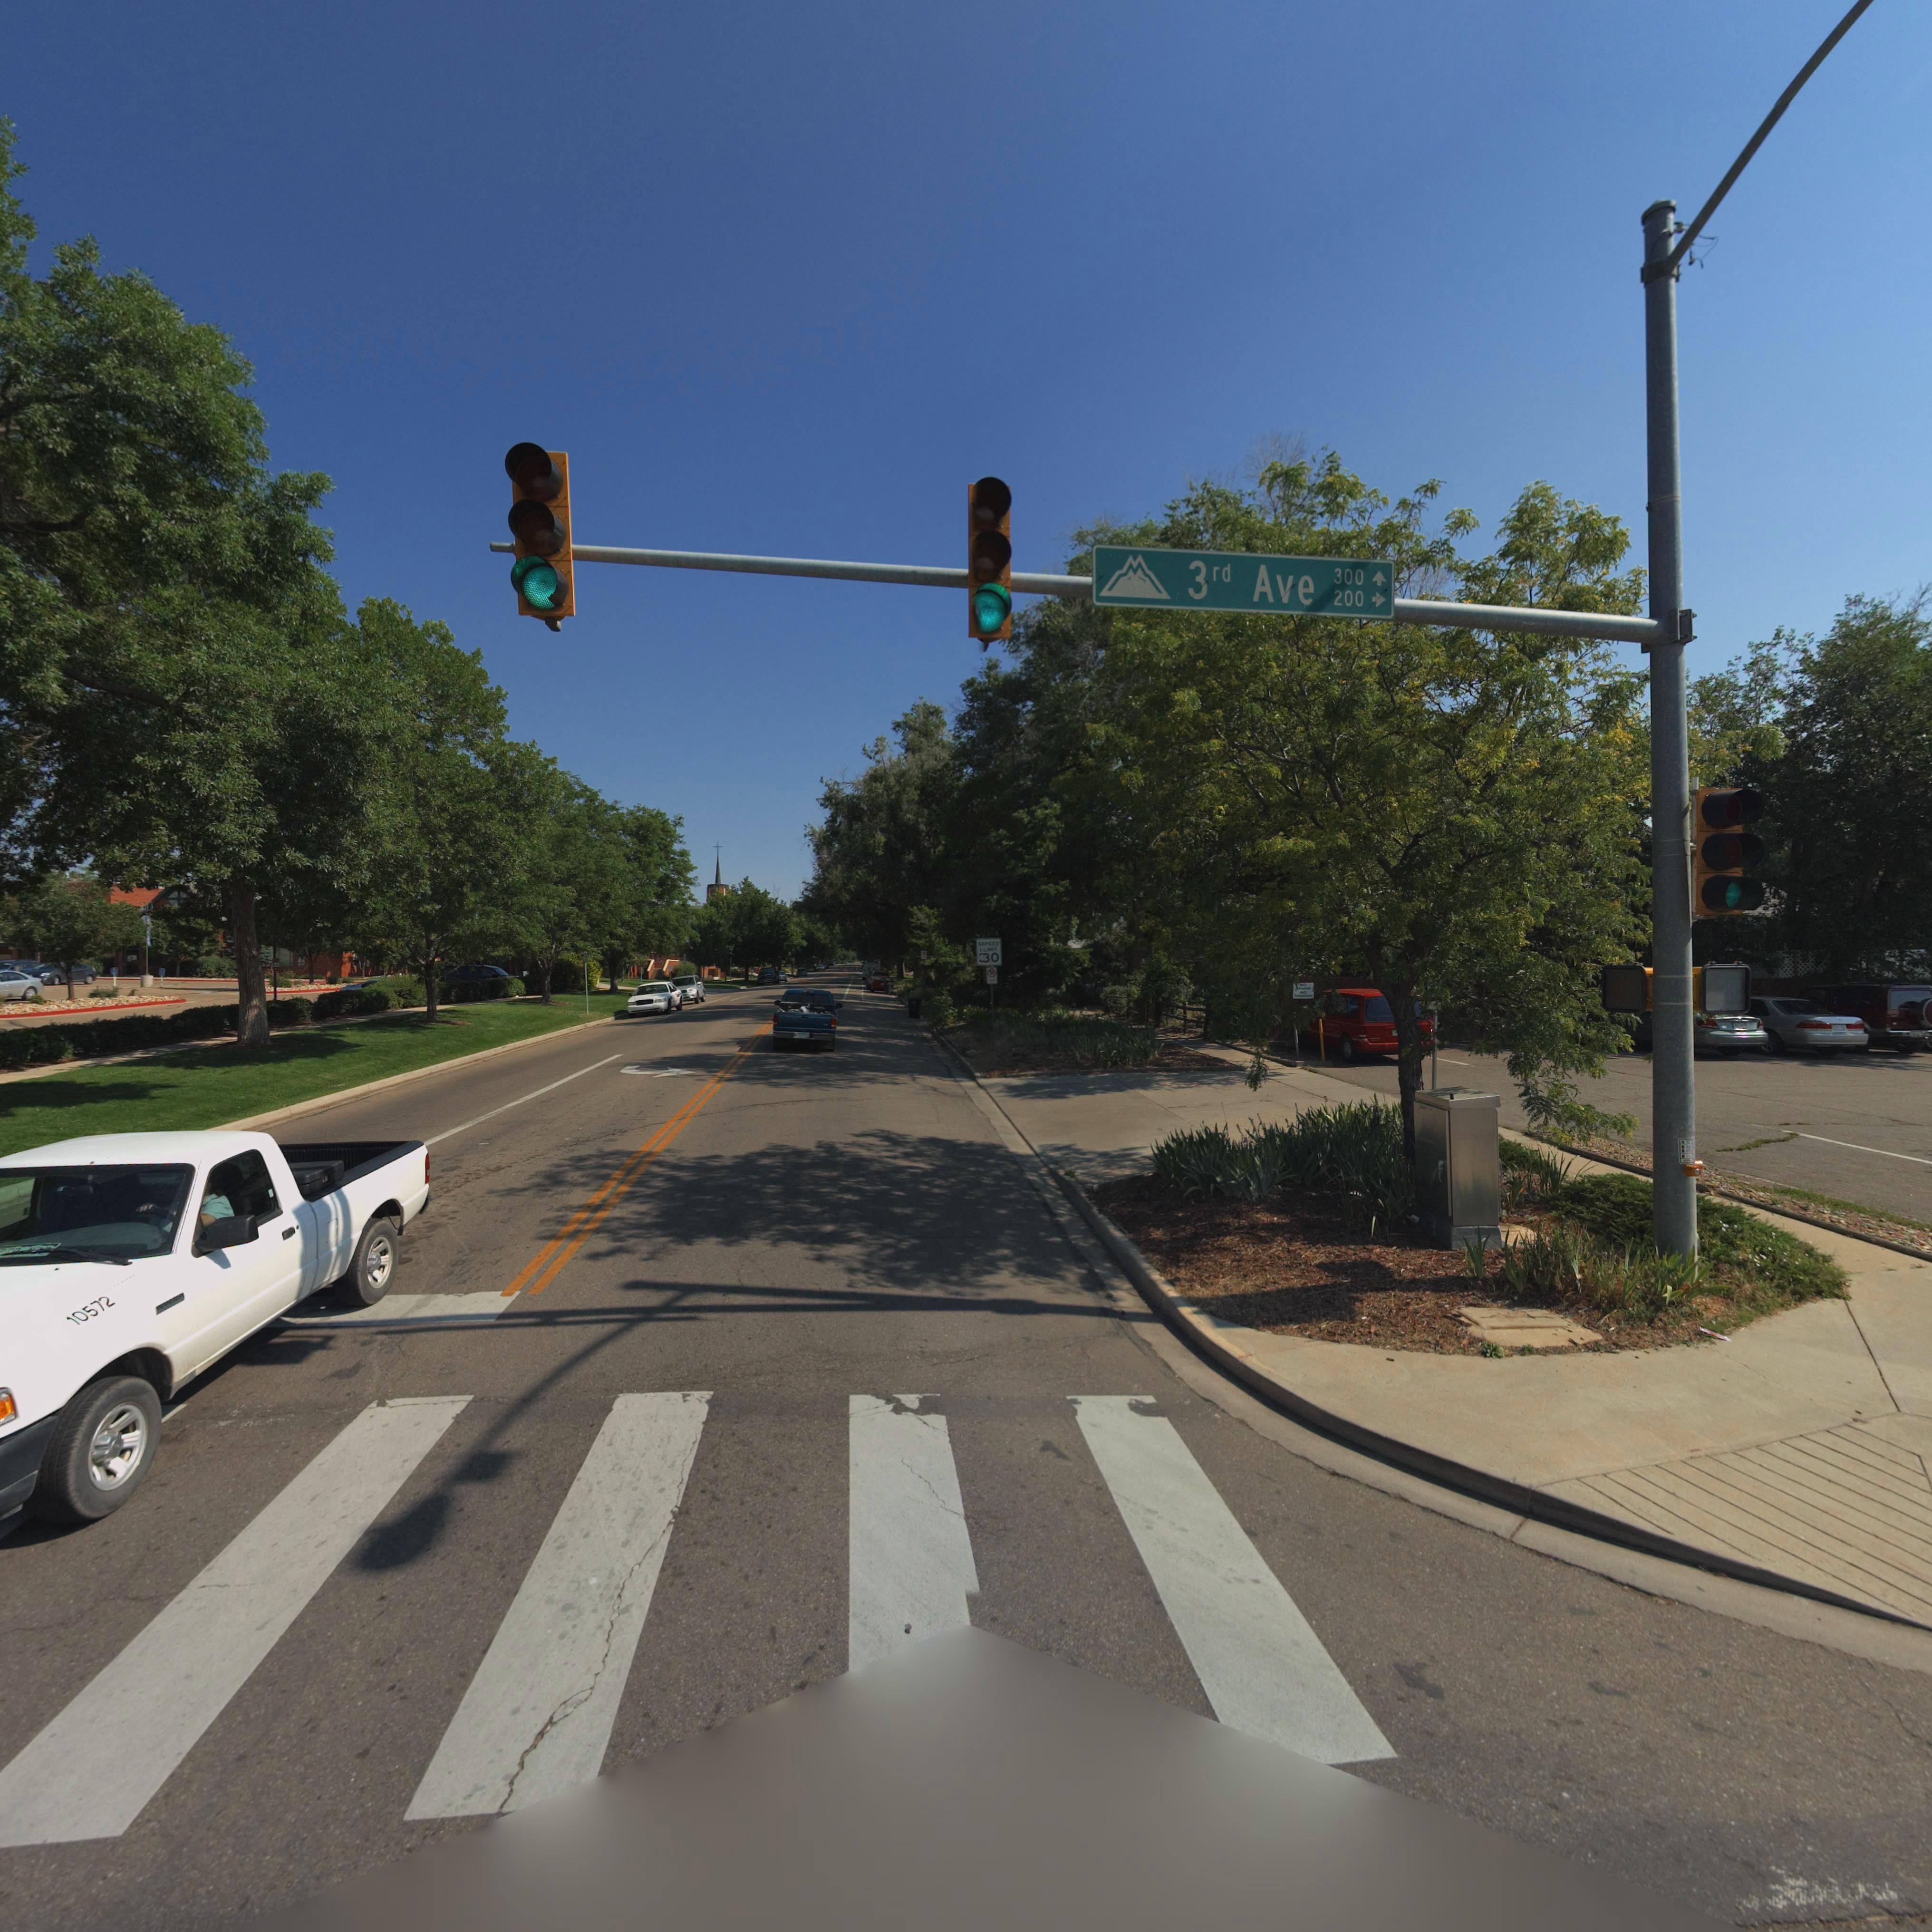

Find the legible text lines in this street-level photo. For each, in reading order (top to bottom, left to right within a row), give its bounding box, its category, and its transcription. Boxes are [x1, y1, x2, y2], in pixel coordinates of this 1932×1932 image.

[1186, 559, 1315, 607] StreetName: 3rd Ave
[1333, 568, 1365, 587] StreetNumberRange: 300
[1333, 589, 1387, 609] StreetNumberRange: 200->